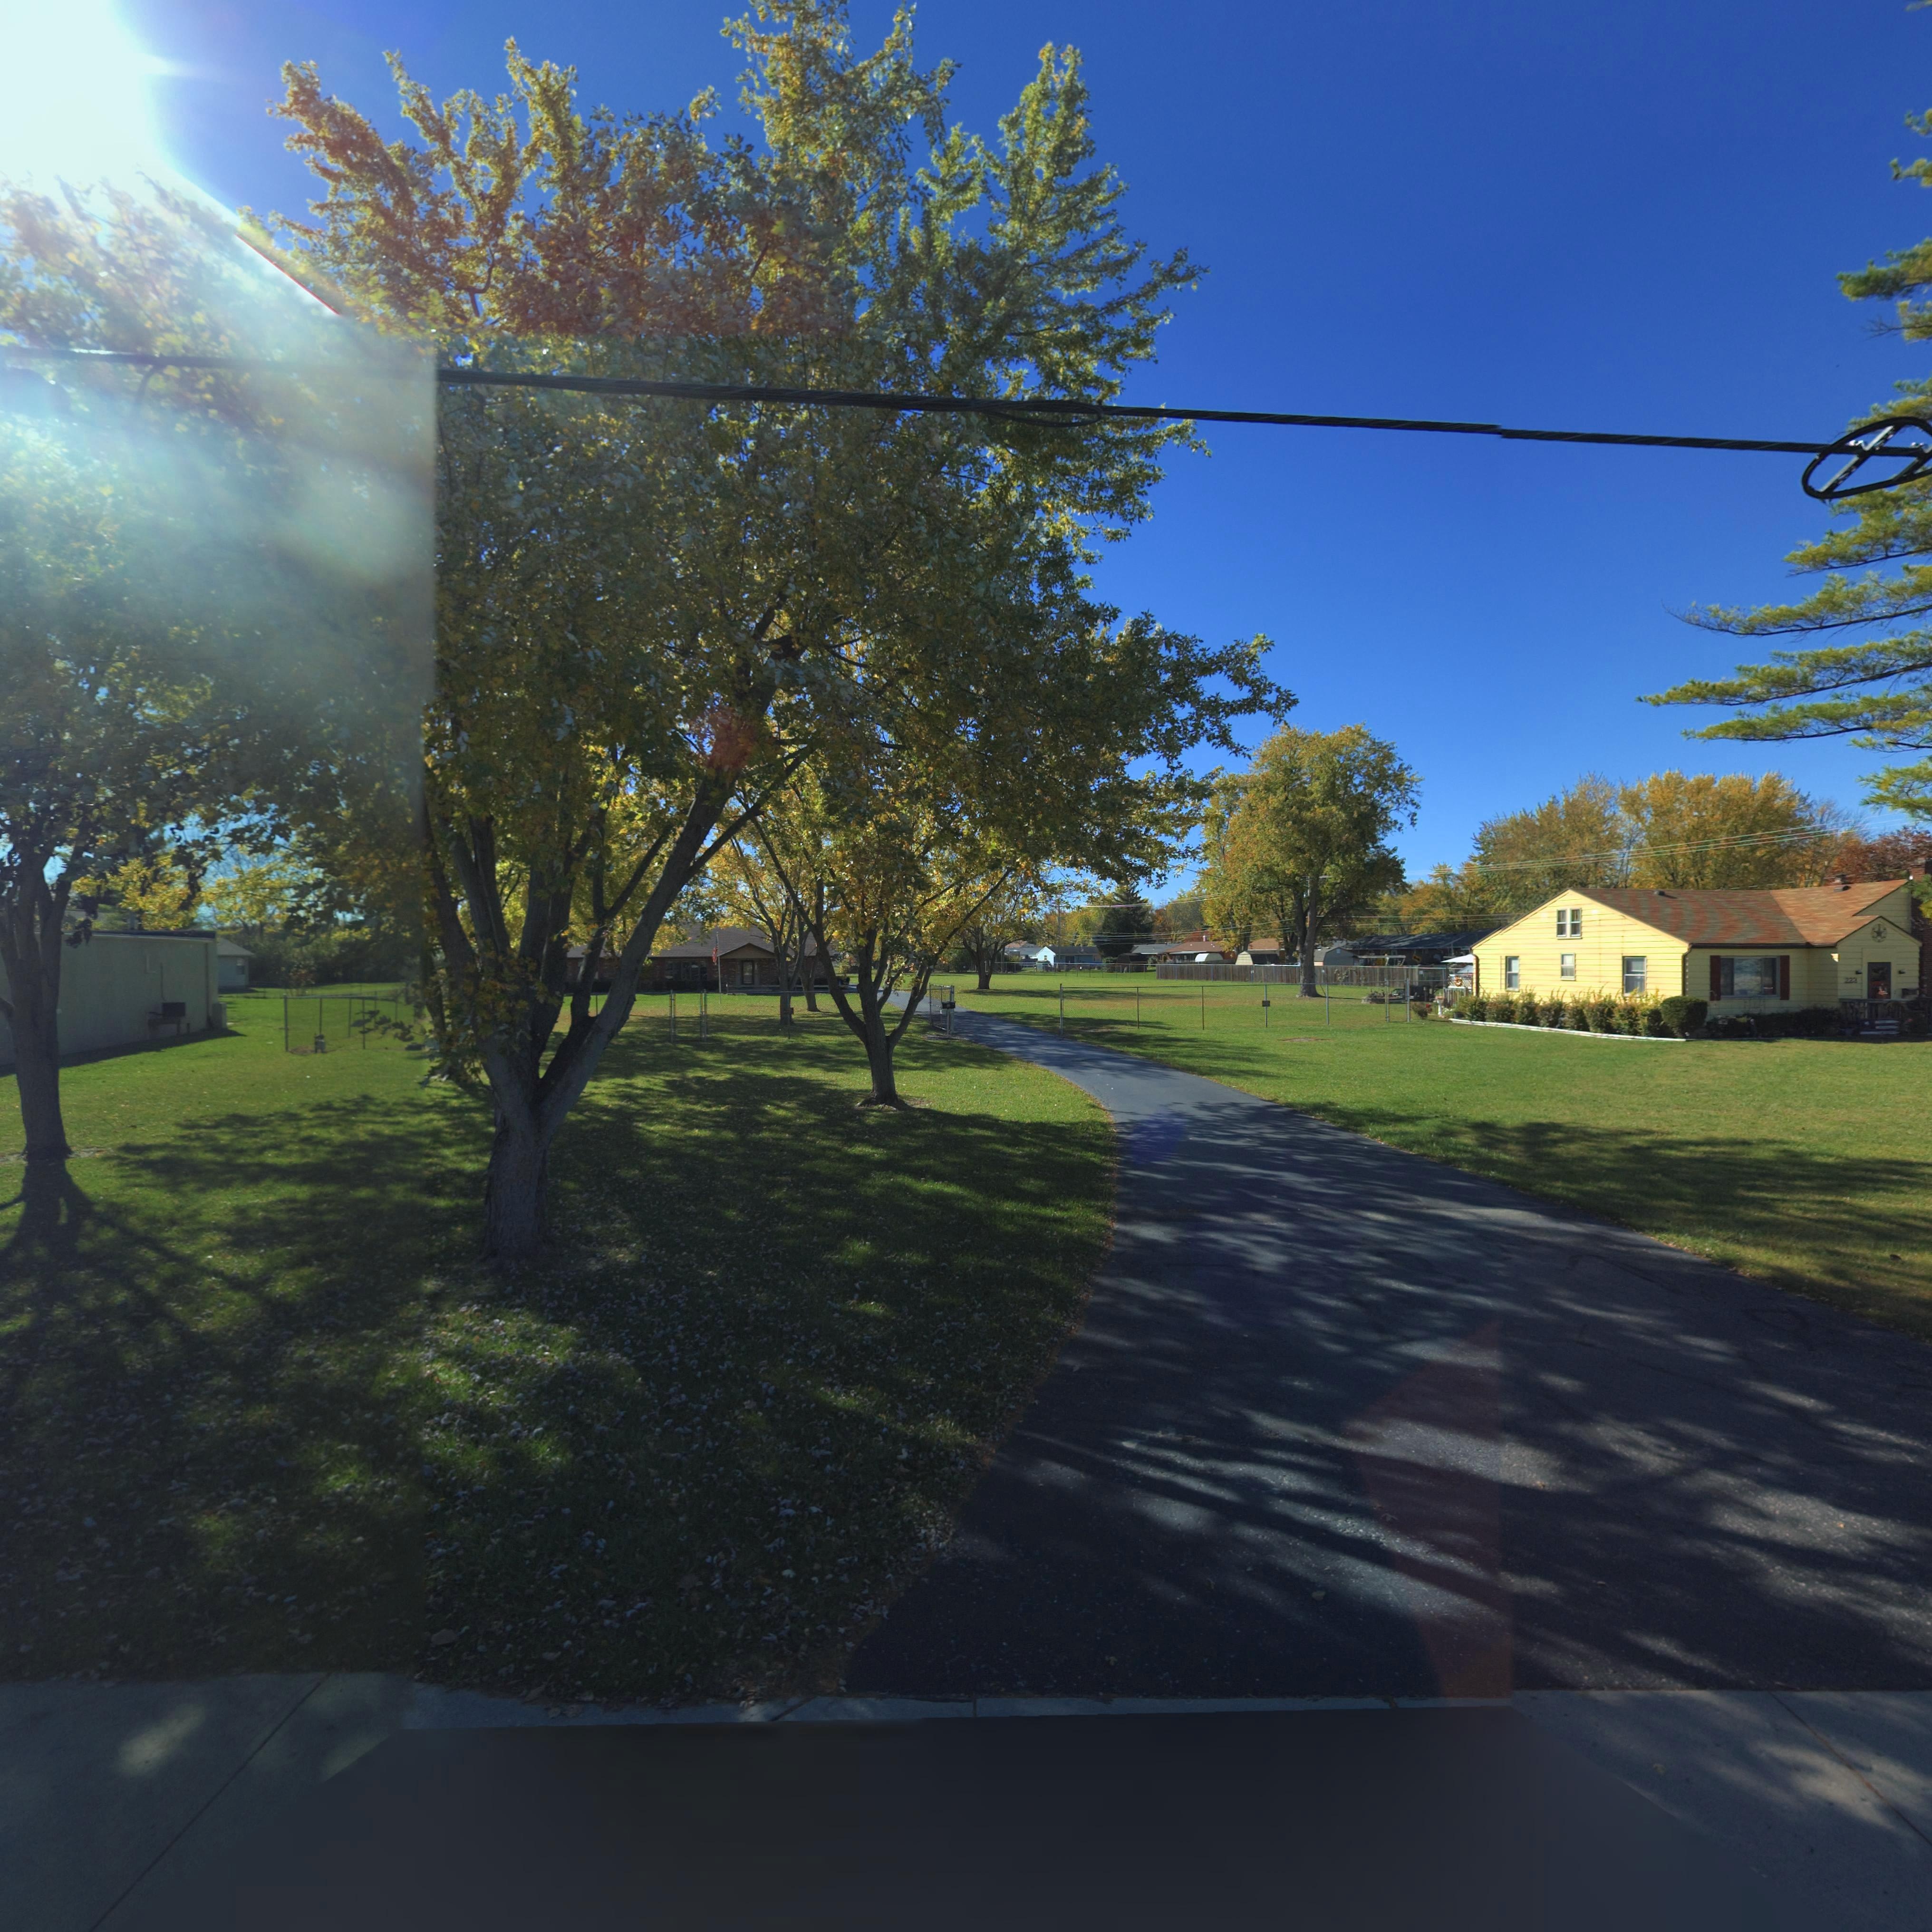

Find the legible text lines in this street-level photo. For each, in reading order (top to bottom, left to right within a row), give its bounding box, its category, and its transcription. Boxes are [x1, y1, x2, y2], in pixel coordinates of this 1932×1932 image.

[1844, 977, 1858, 984] StreetNumber: 223